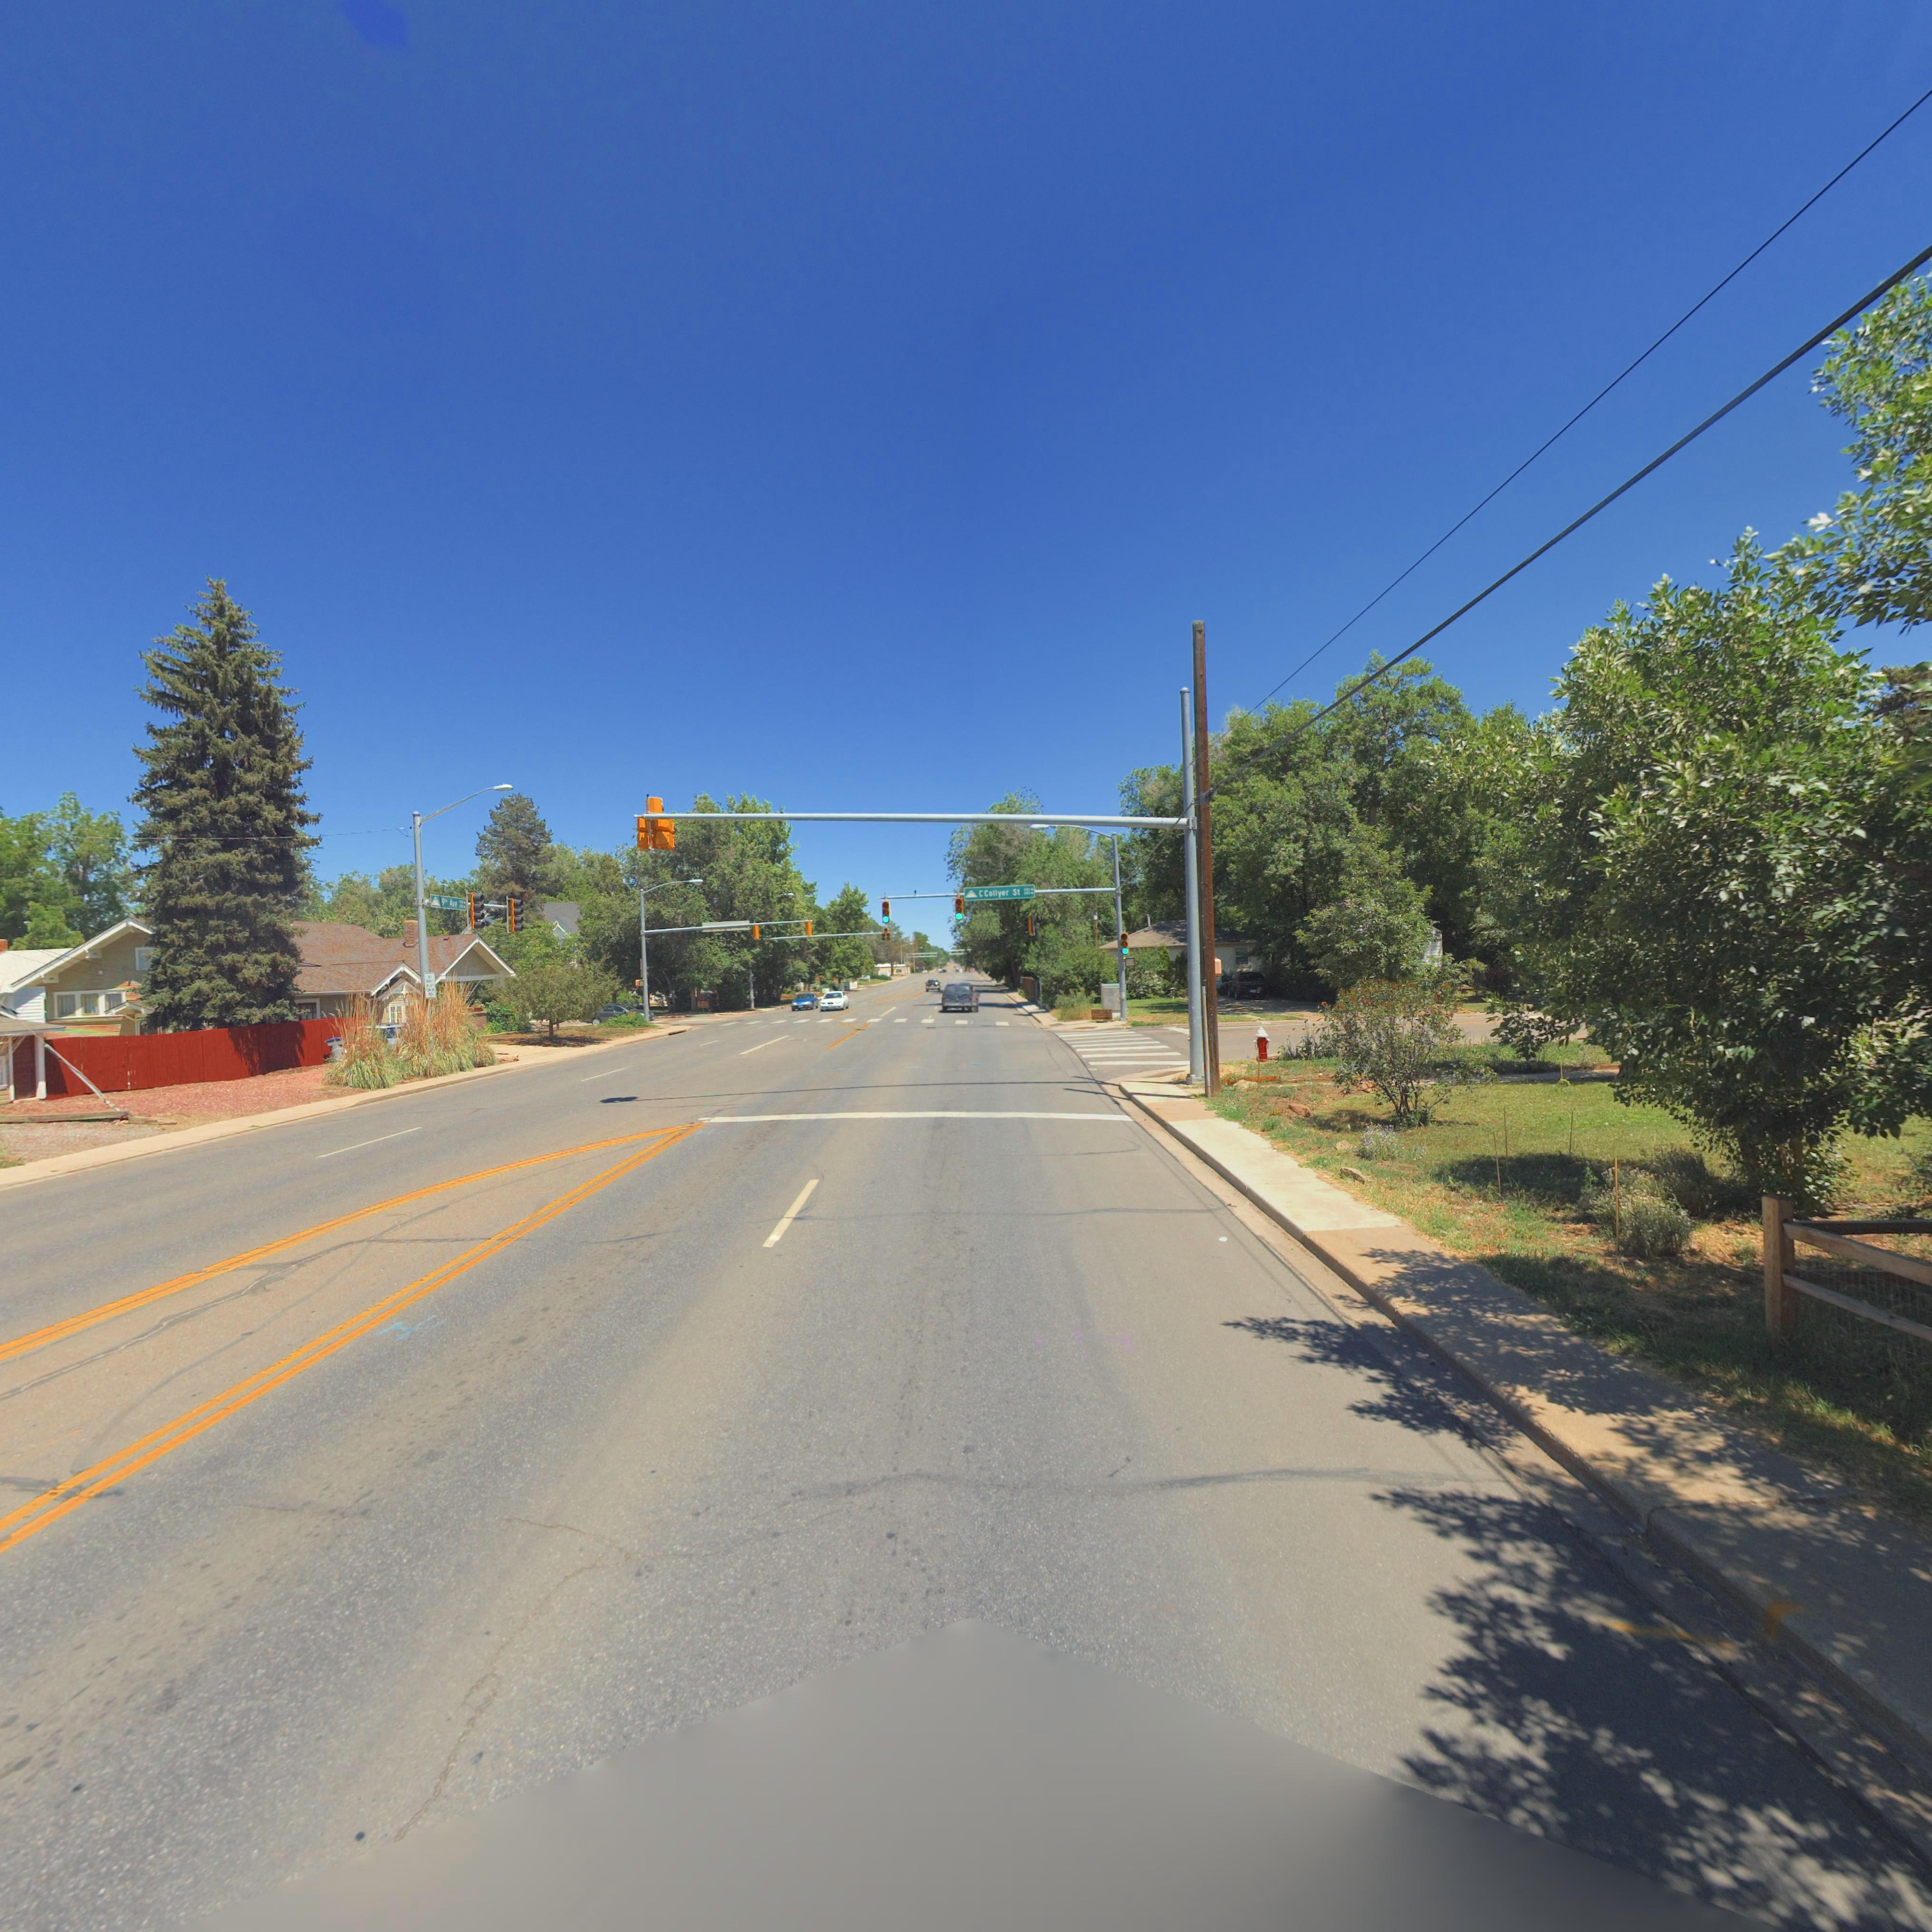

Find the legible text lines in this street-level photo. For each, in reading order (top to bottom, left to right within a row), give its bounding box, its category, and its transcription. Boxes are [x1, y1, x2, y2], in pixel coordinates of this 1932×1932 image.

[978, 888, 1020, 898] StreetName: C Collyer St
[441, 897, 457, 908] StreetName: 9** Ave